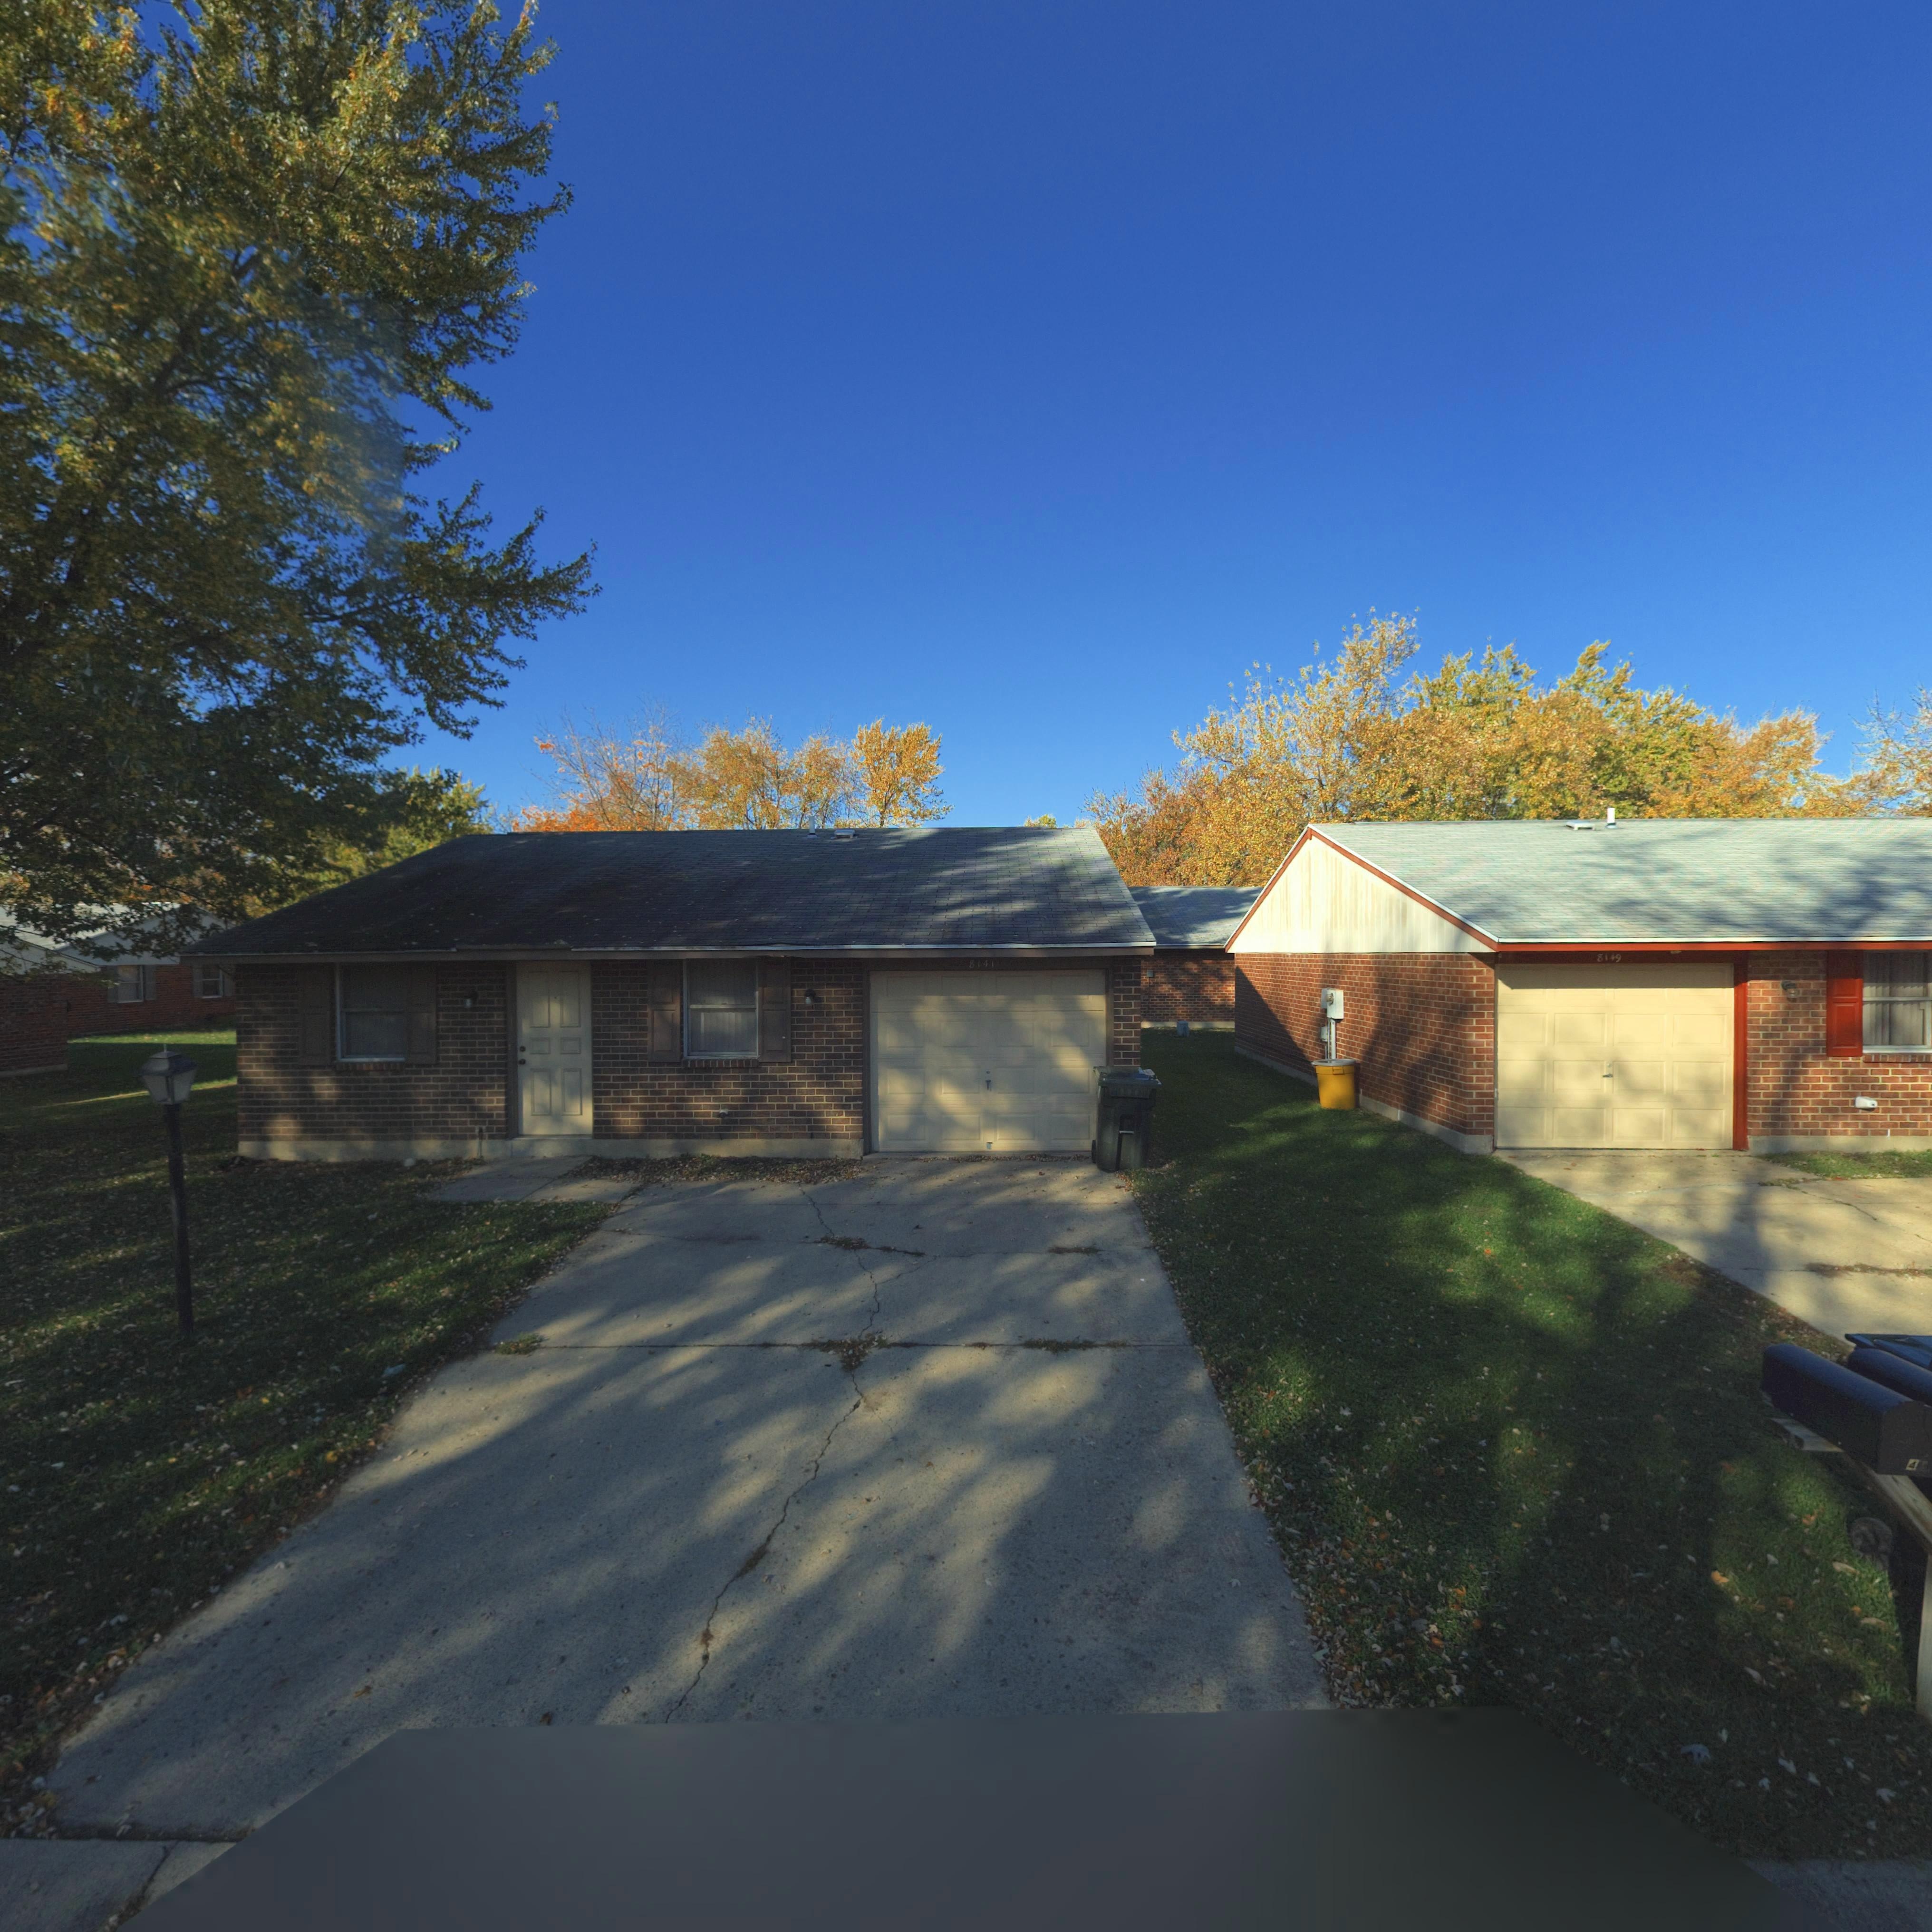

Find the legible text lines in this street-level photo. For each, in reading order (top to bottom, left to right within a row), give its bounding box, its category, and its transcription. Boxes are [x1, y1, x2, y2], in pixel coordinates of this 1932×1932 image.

[1596, 952, 1623, 964] StreetNumber: 8149
[968, 958, 995, 970] StreetNumber: 8141
[1907, 1460, 1918, 1470] StreetNumber: 4